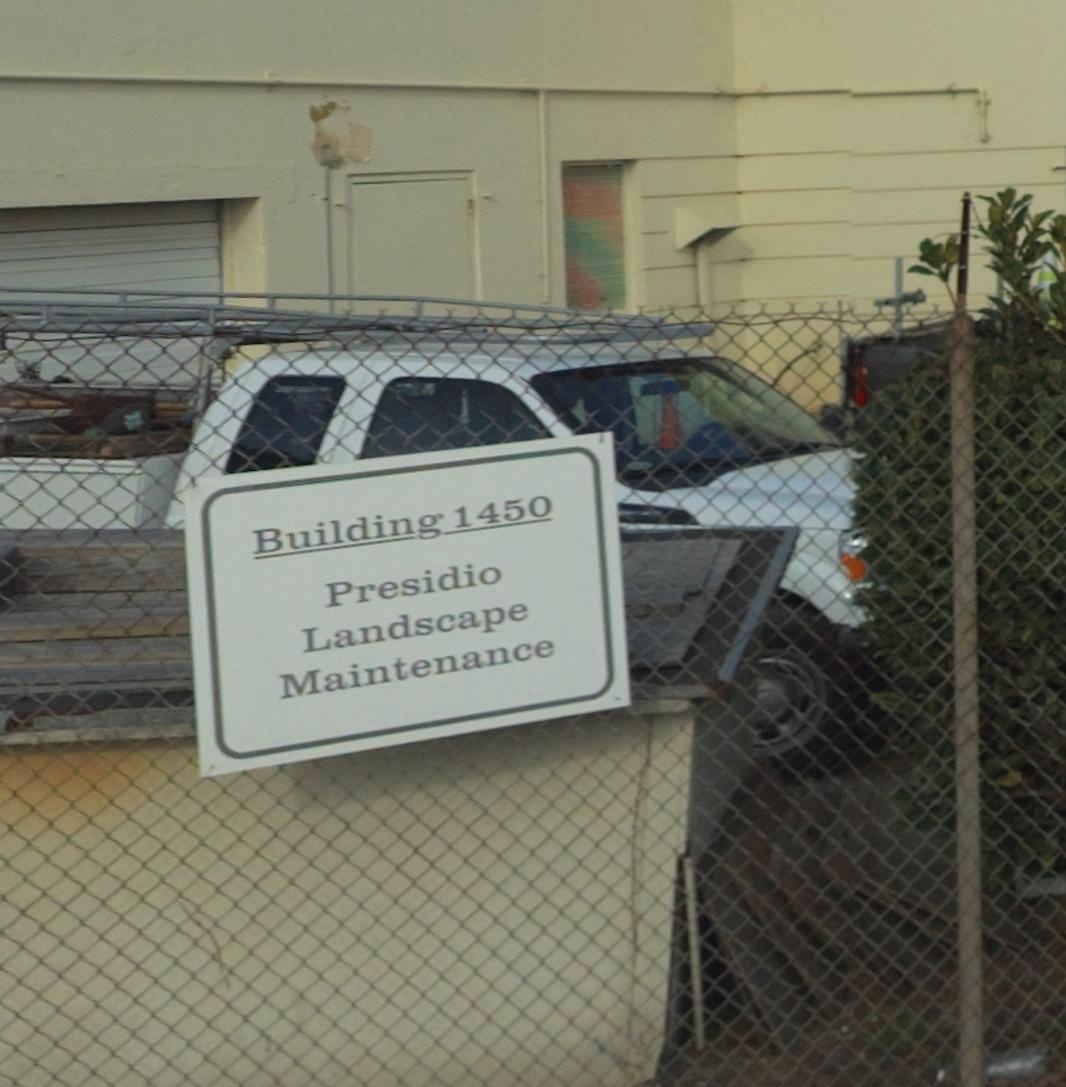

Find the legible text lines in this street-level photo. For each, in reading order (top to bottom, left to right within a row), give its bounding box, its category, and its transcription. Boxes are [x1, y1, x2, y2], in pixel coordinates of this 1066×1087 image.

[247, 511, 446, 557] None: Building
[451, 491, 556, 531] StreetNumber: 1450
[323, 562, 504, 610] BusinessName: Presidio
[299, 602, 531, 654] BusinessName: Landscape
[277, 638, 558, 701] BusinessName: Maintenance